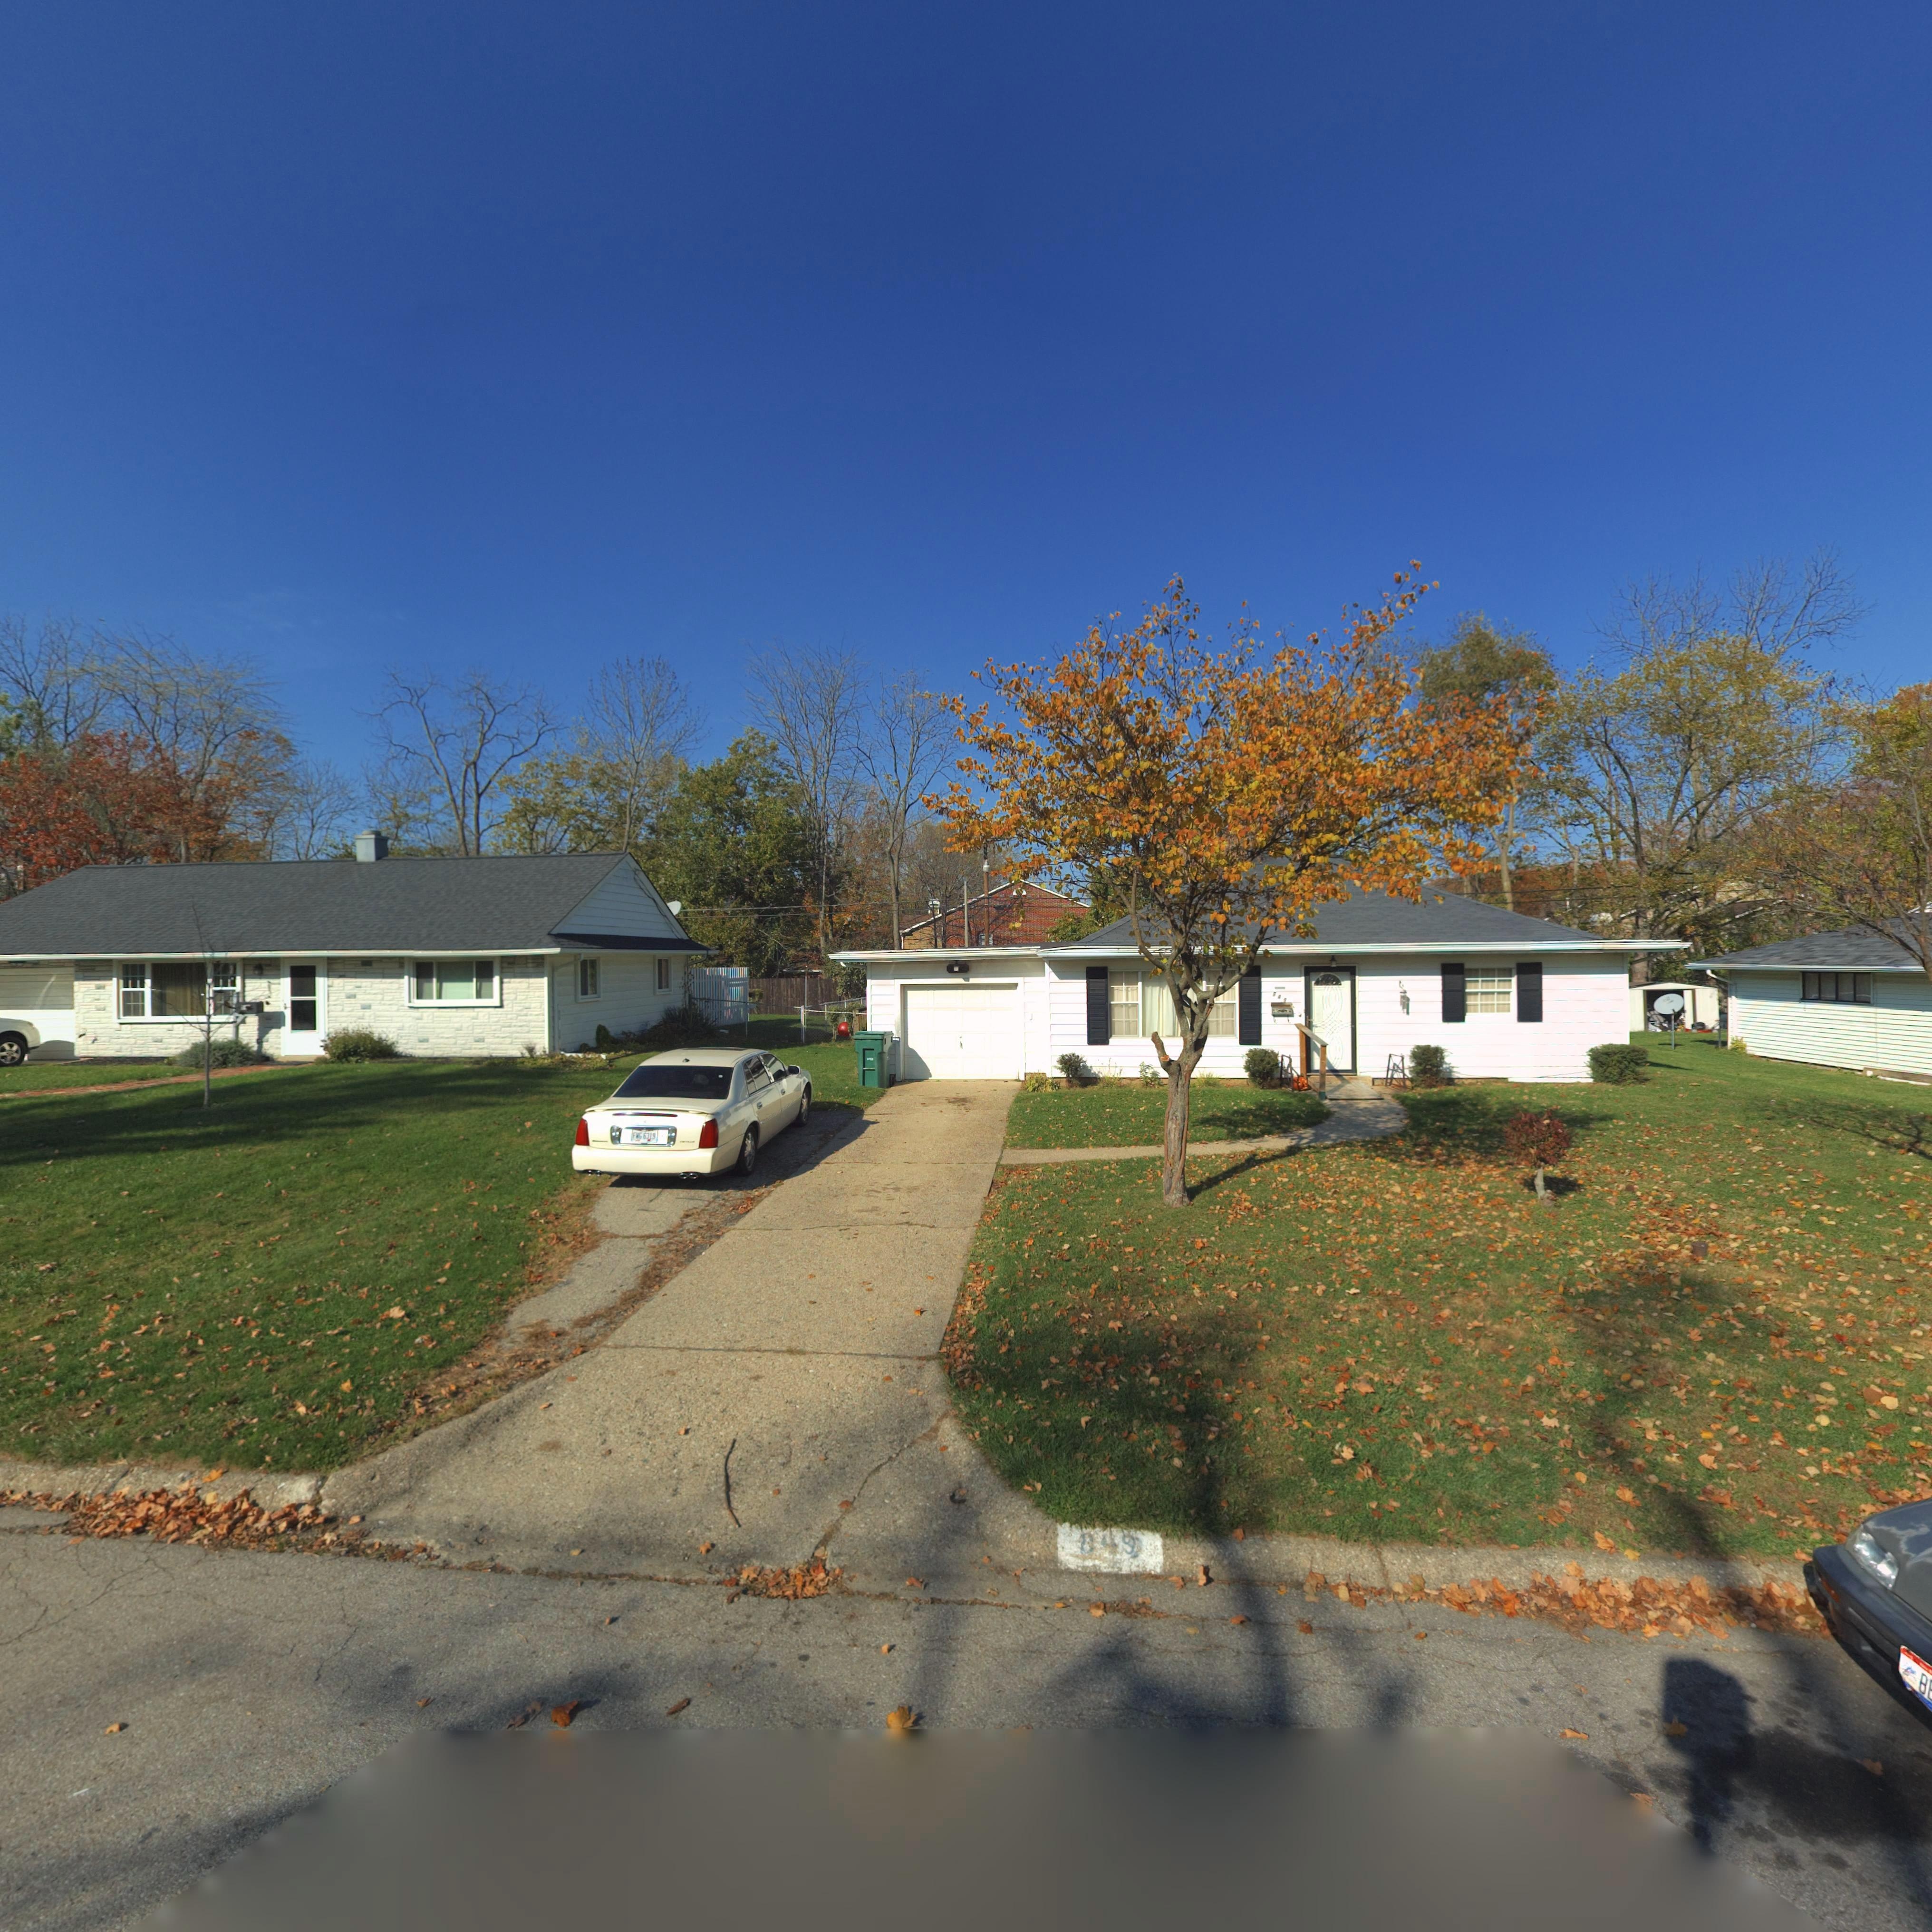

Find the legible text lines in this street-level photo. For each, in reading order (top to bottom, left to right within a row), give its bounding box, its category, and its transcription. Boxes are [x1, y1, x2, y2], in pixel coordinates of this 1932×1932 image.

[1272, 991, 1287, 1004] StreetNumber: 849
[632, 1132, 656, 1140] None: FWG*6319
[1079, 1531, 1138, 1556] StreetNumber: 8*9
[1918, 1672, 1930, 1697] None: B